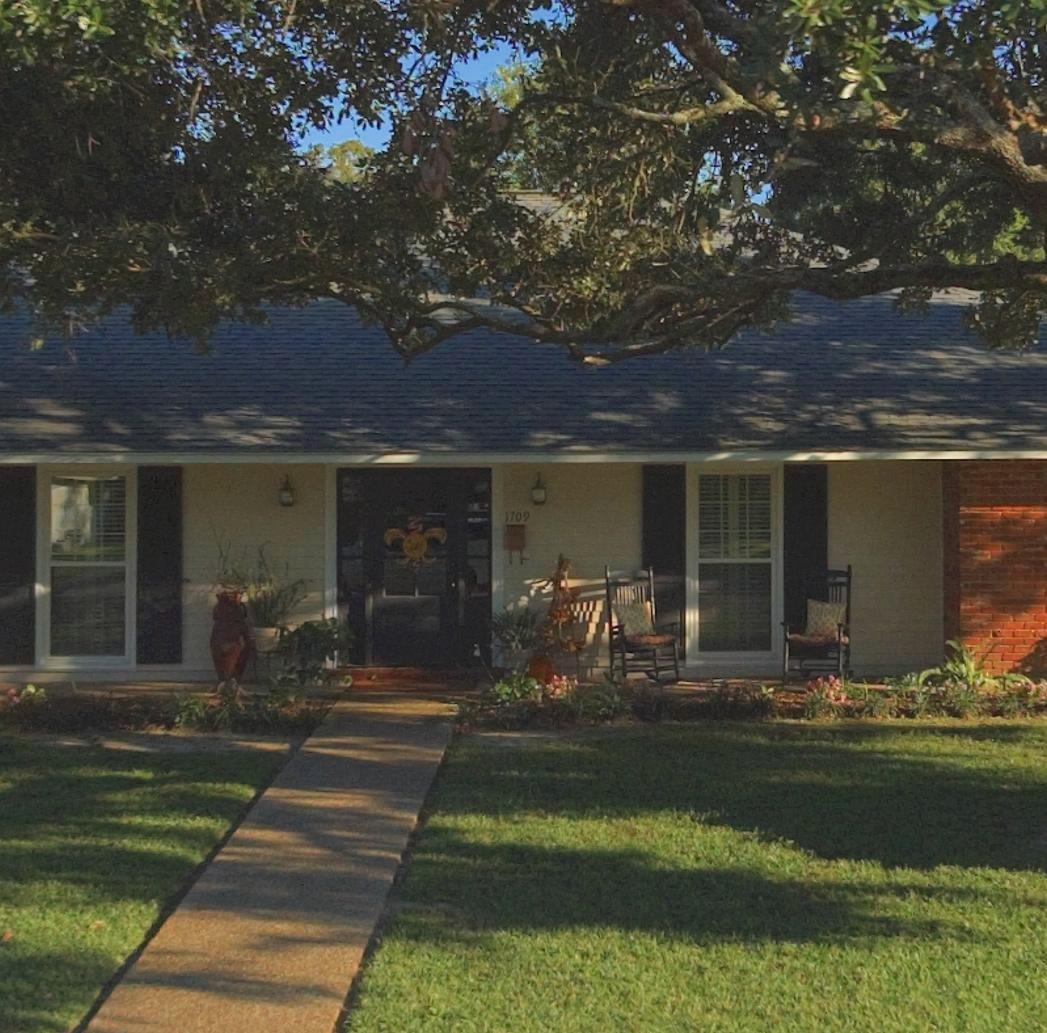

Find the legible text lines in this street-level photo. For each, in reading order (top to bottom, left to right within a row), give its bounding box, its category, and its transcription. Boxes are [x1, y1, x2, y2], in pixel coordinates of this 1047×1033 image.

[504, 509, 531, 524] StreetNumber: 1709